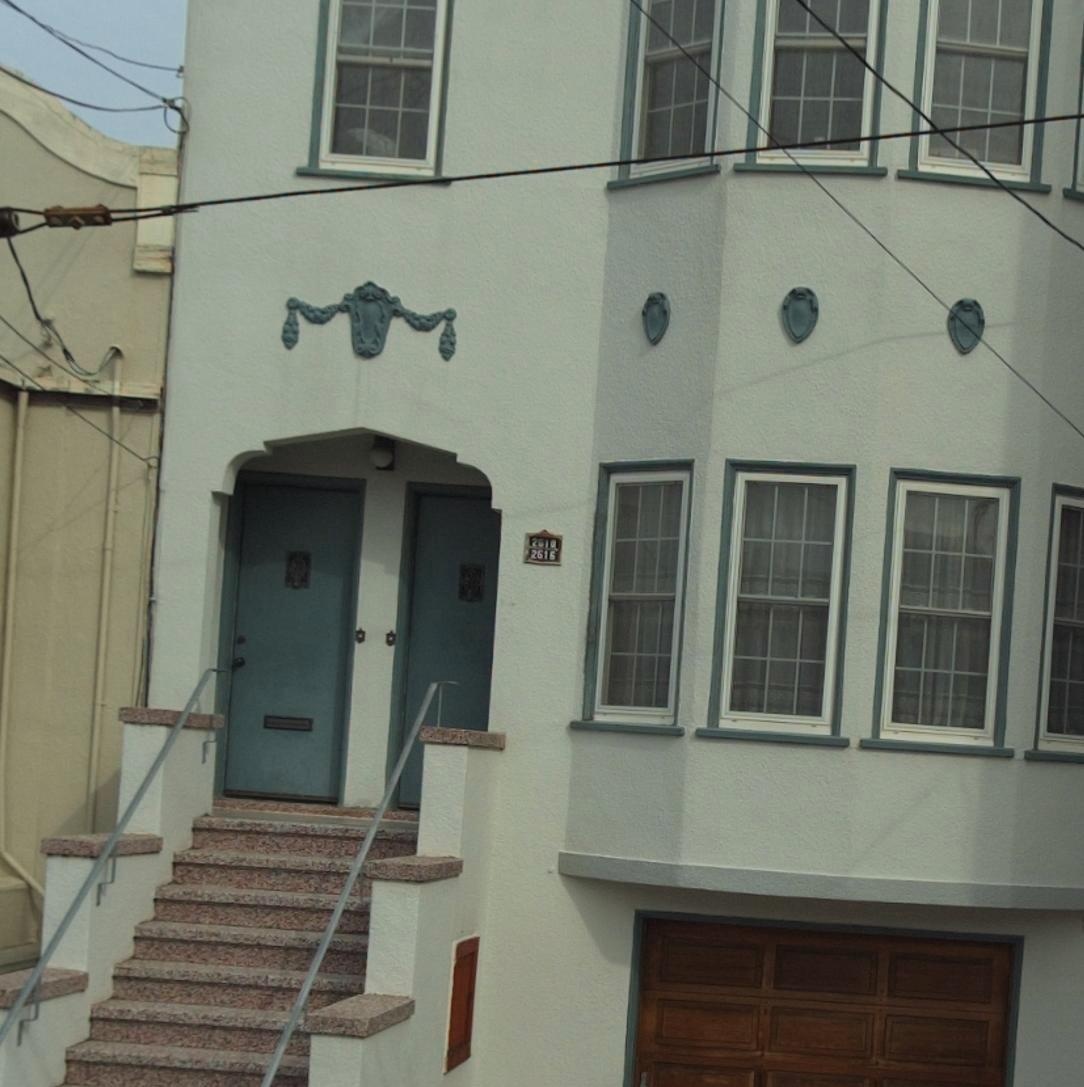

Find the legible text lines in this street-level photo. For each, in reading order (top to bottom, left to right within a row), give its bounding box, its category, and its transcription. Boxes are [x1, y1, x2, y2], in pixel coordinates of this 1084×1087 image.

[530, 537, 558, 550] StreetNumber: 2618
[529, 548, 558, 562] StreetNumber: 2616